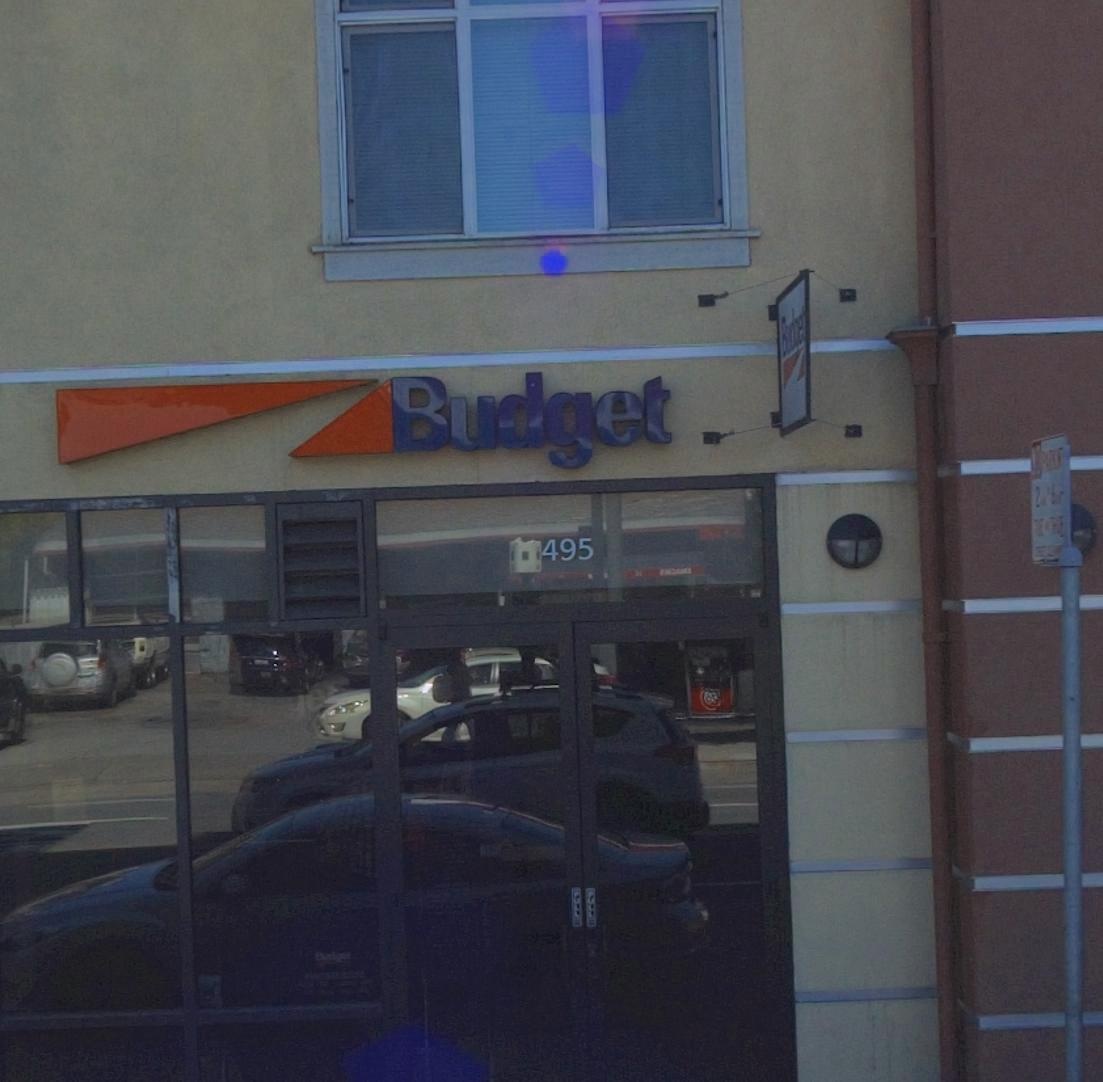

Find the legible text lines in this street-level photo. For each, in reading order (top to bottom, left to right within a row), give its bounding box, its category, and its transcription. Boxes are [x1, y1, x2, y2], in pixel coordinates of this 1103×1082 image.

[779, 302, 806, 360] BusinessName: Budget
[391, 370, 673, 472] BusinessName: Budget
[1033, 483, 1044, 510] None: 2
[540, 535, 595, 565] StreetNumber: 495